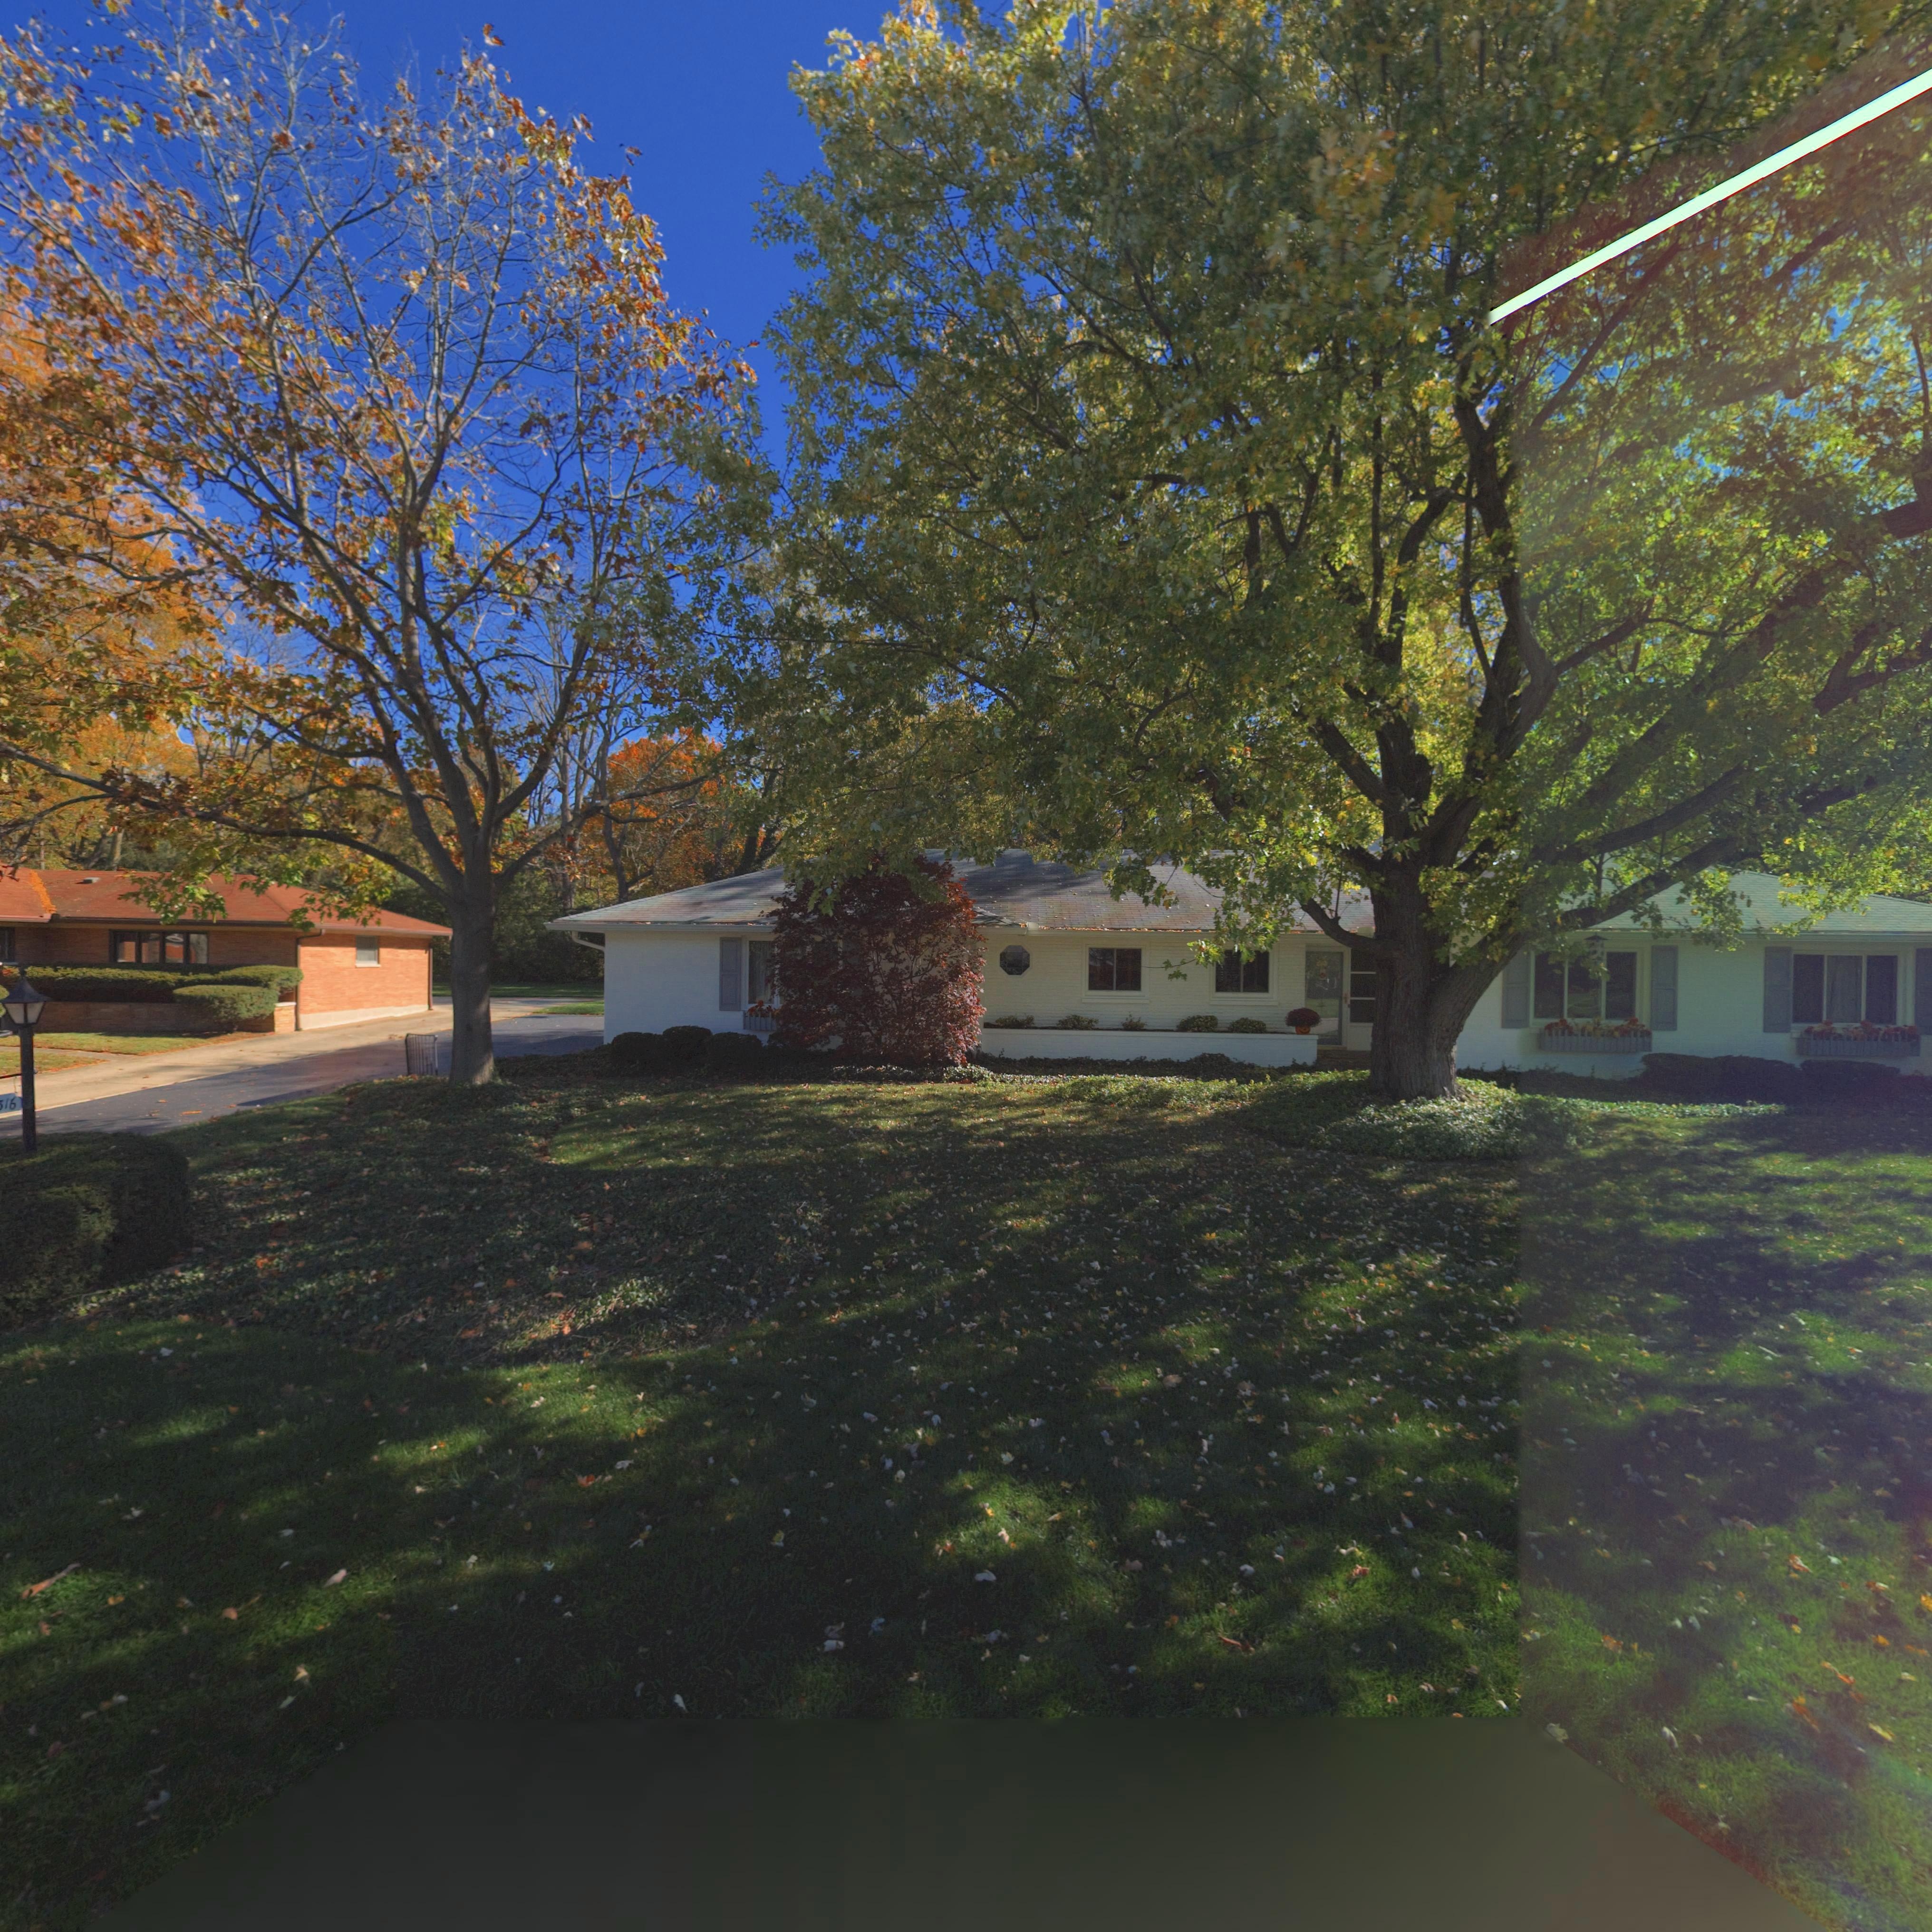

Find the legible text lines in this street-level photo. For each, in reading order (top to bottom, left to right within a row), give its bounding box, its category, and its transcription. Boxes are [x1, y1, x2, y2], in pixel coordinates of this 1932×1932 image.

[5, 1096, 17, 1111] StreetNumber: 16